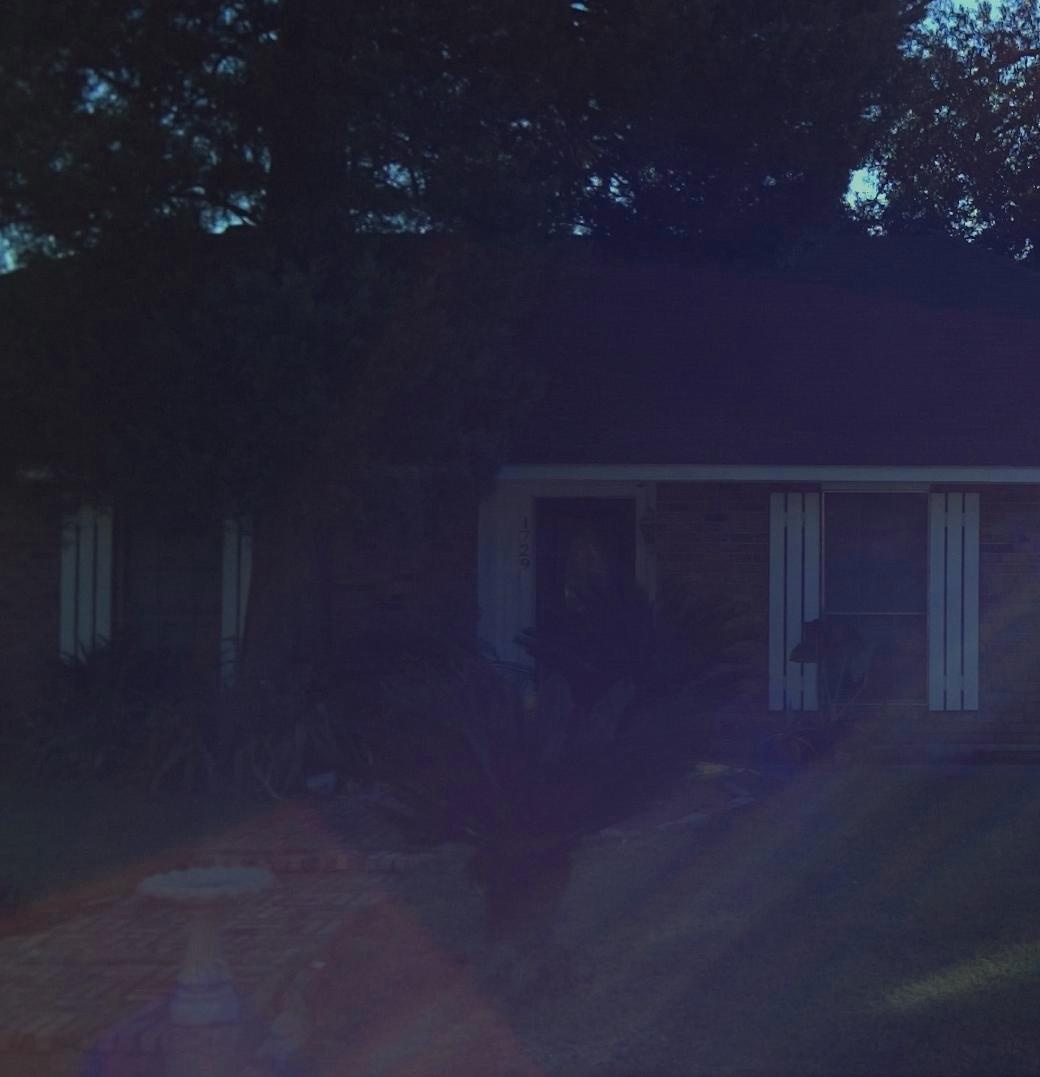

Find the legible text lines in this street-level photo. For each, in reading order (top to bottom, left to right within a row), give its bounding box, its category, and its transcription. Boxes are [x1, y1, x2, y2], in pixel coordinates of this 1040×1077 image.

[517, 513, 532, 572] StreetNumber: 1729